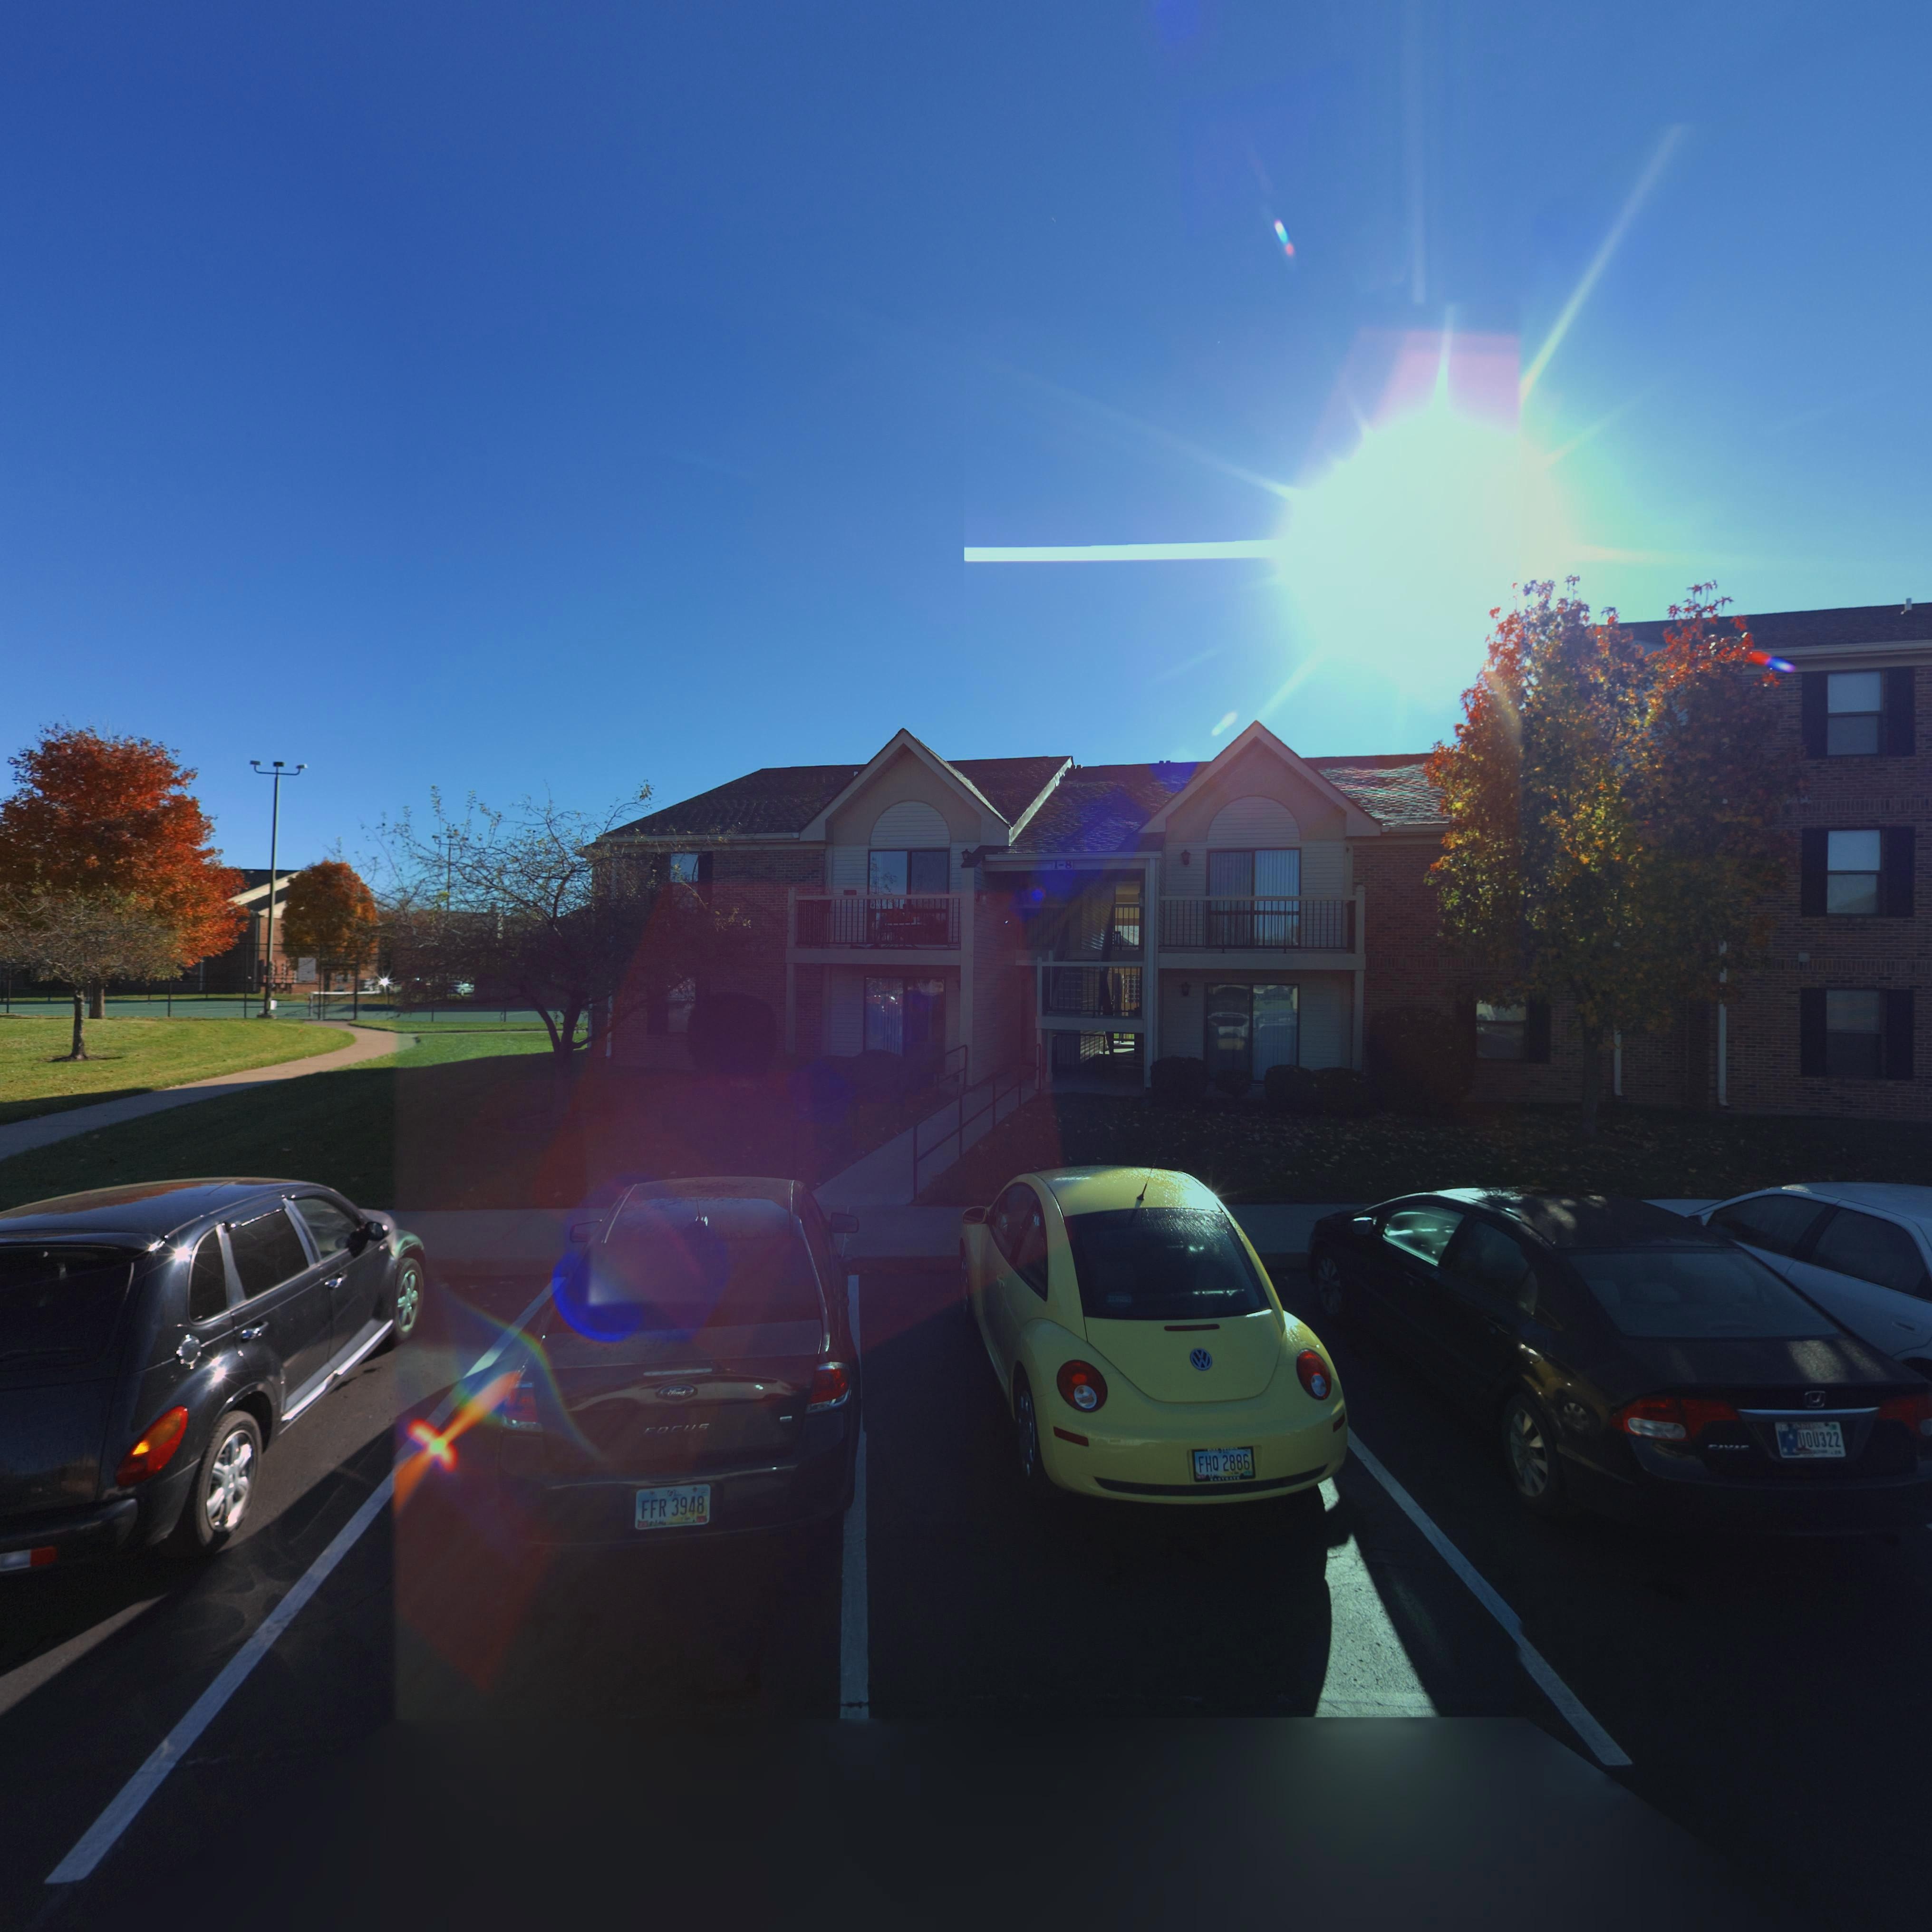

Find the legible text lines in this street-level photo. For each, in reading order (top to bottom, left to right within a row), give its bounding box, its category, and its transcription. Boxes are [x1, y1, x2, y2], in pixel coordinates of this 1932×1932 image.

[1053, 860, 1072, 869] StreetNumber: 1-8